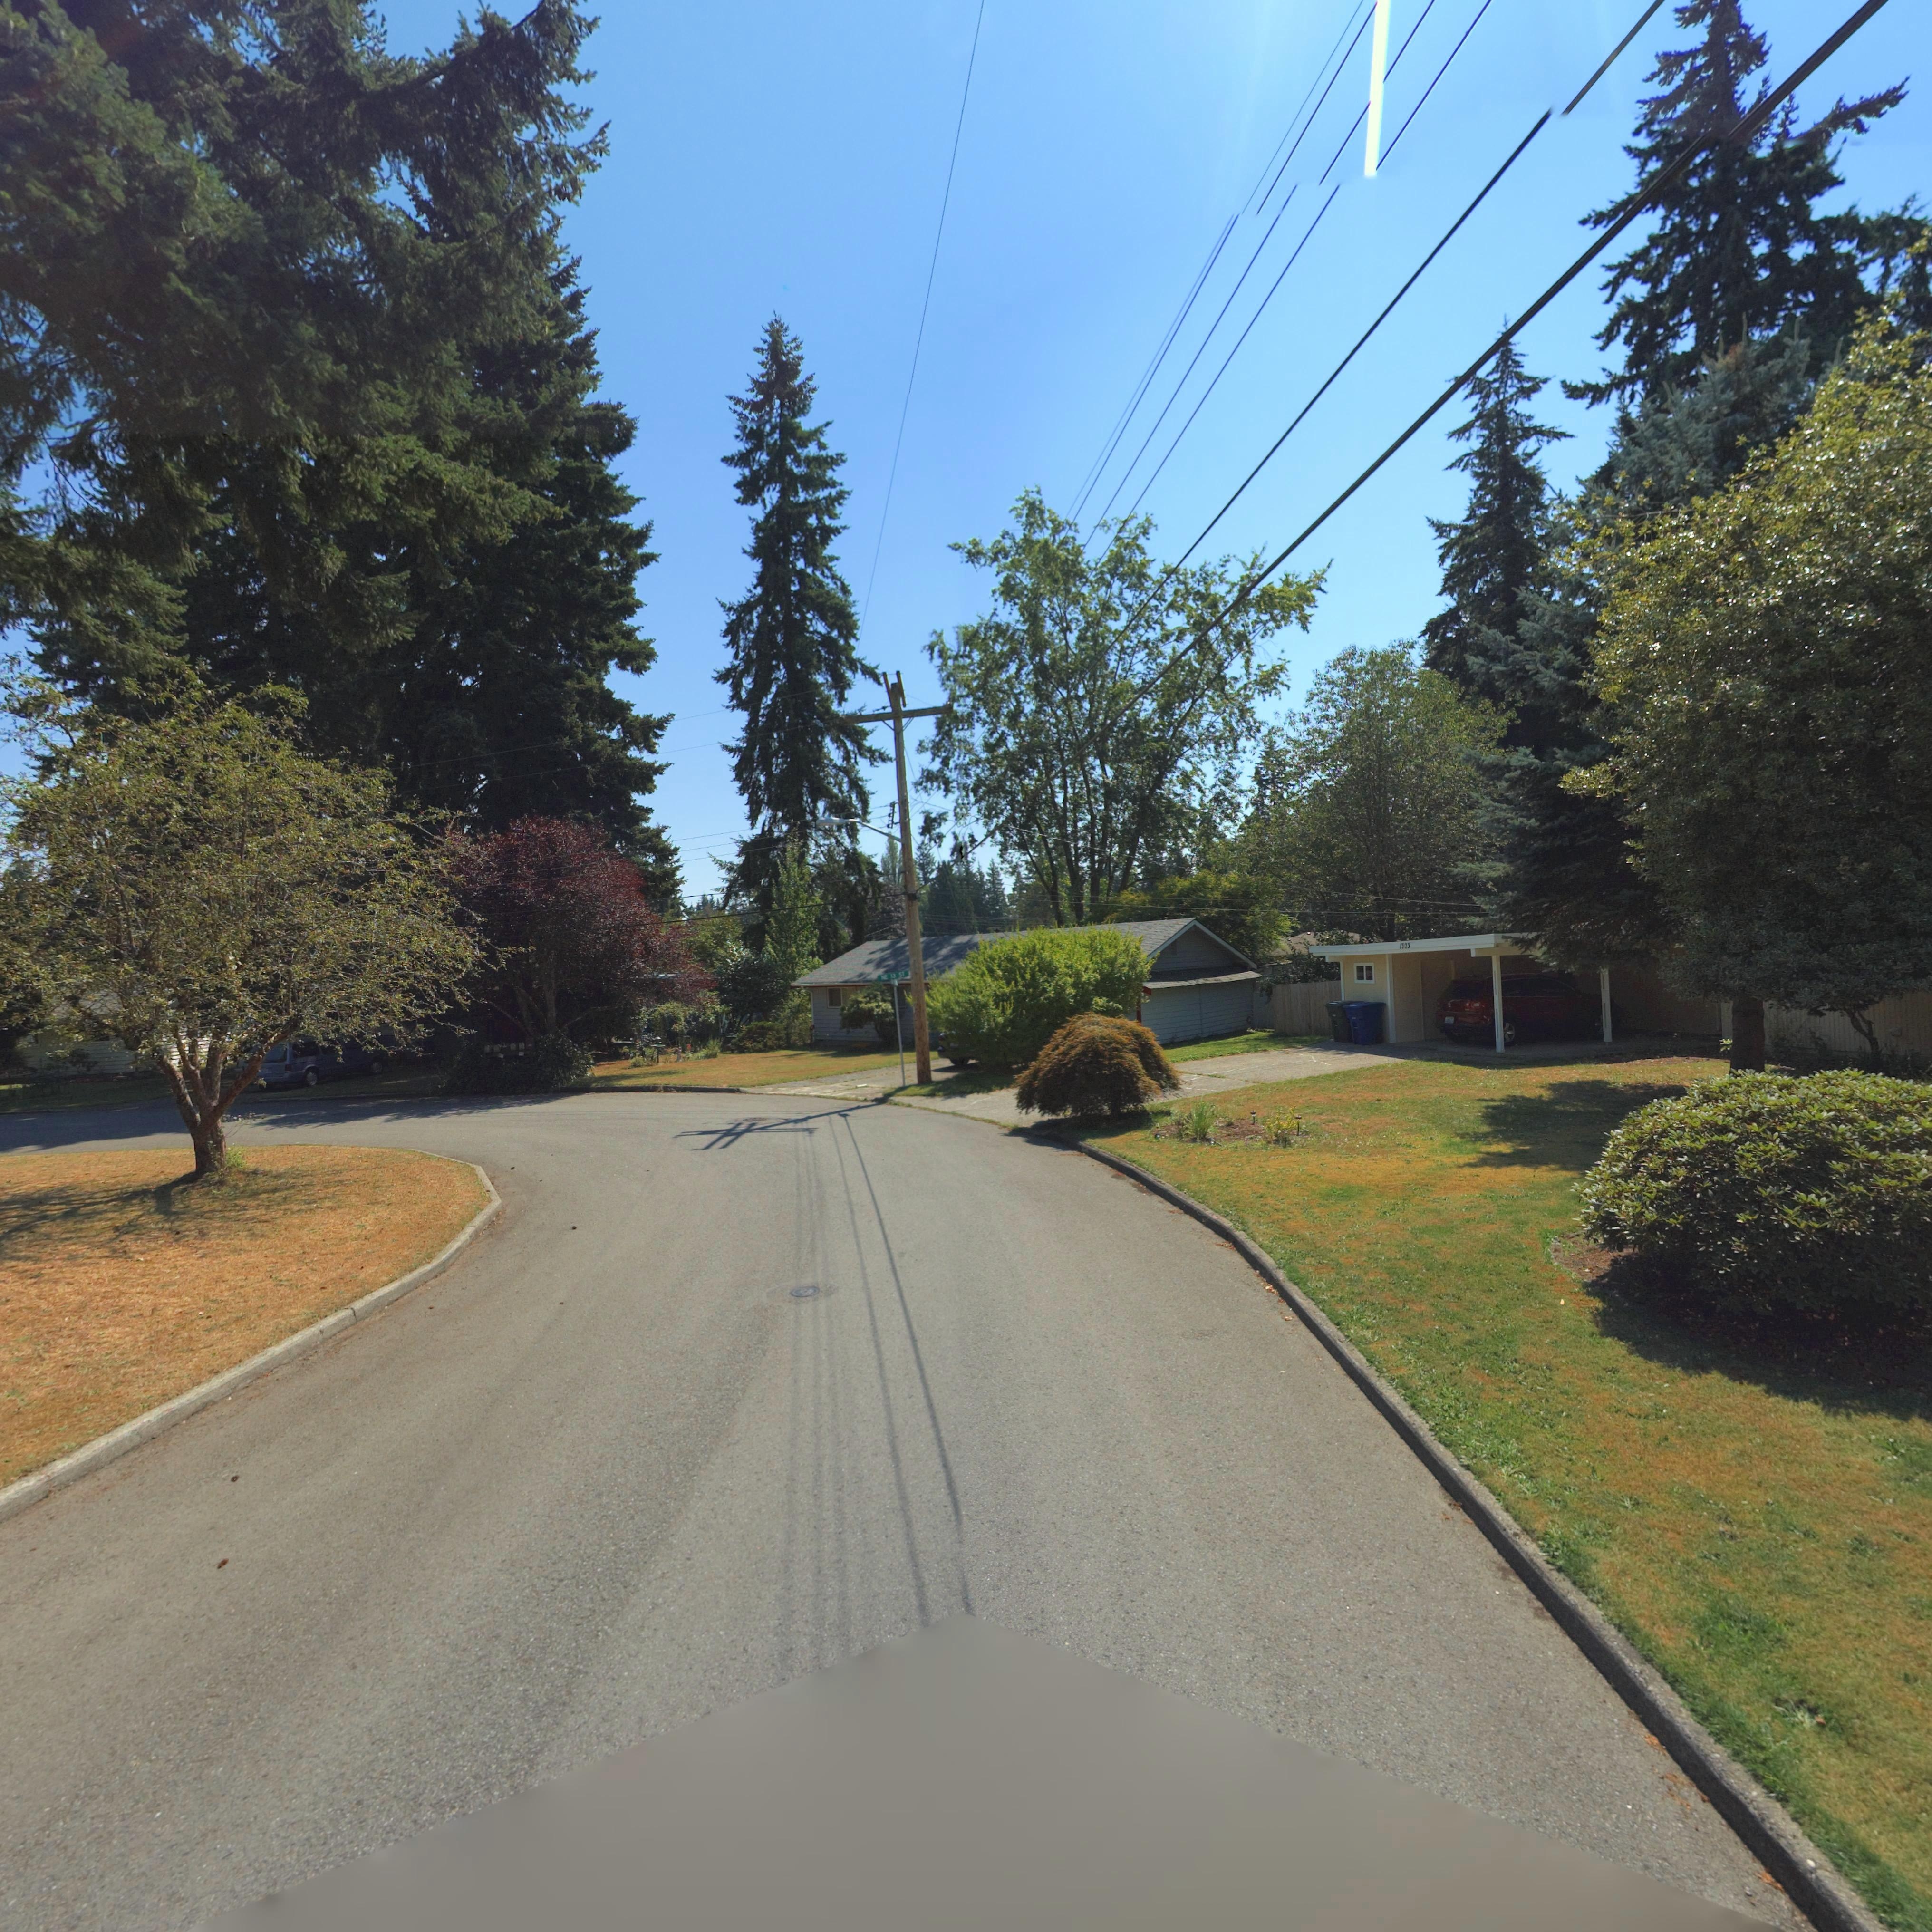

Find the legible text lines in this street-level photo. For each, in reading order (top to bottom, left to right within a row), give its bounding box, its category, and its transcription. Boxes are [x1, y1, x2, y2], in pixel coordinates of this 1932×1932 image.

[1399, 942, 1410, 949] StreetNumber: 1303
[879, 970, 905, 980] StreetName: NE 13 ST